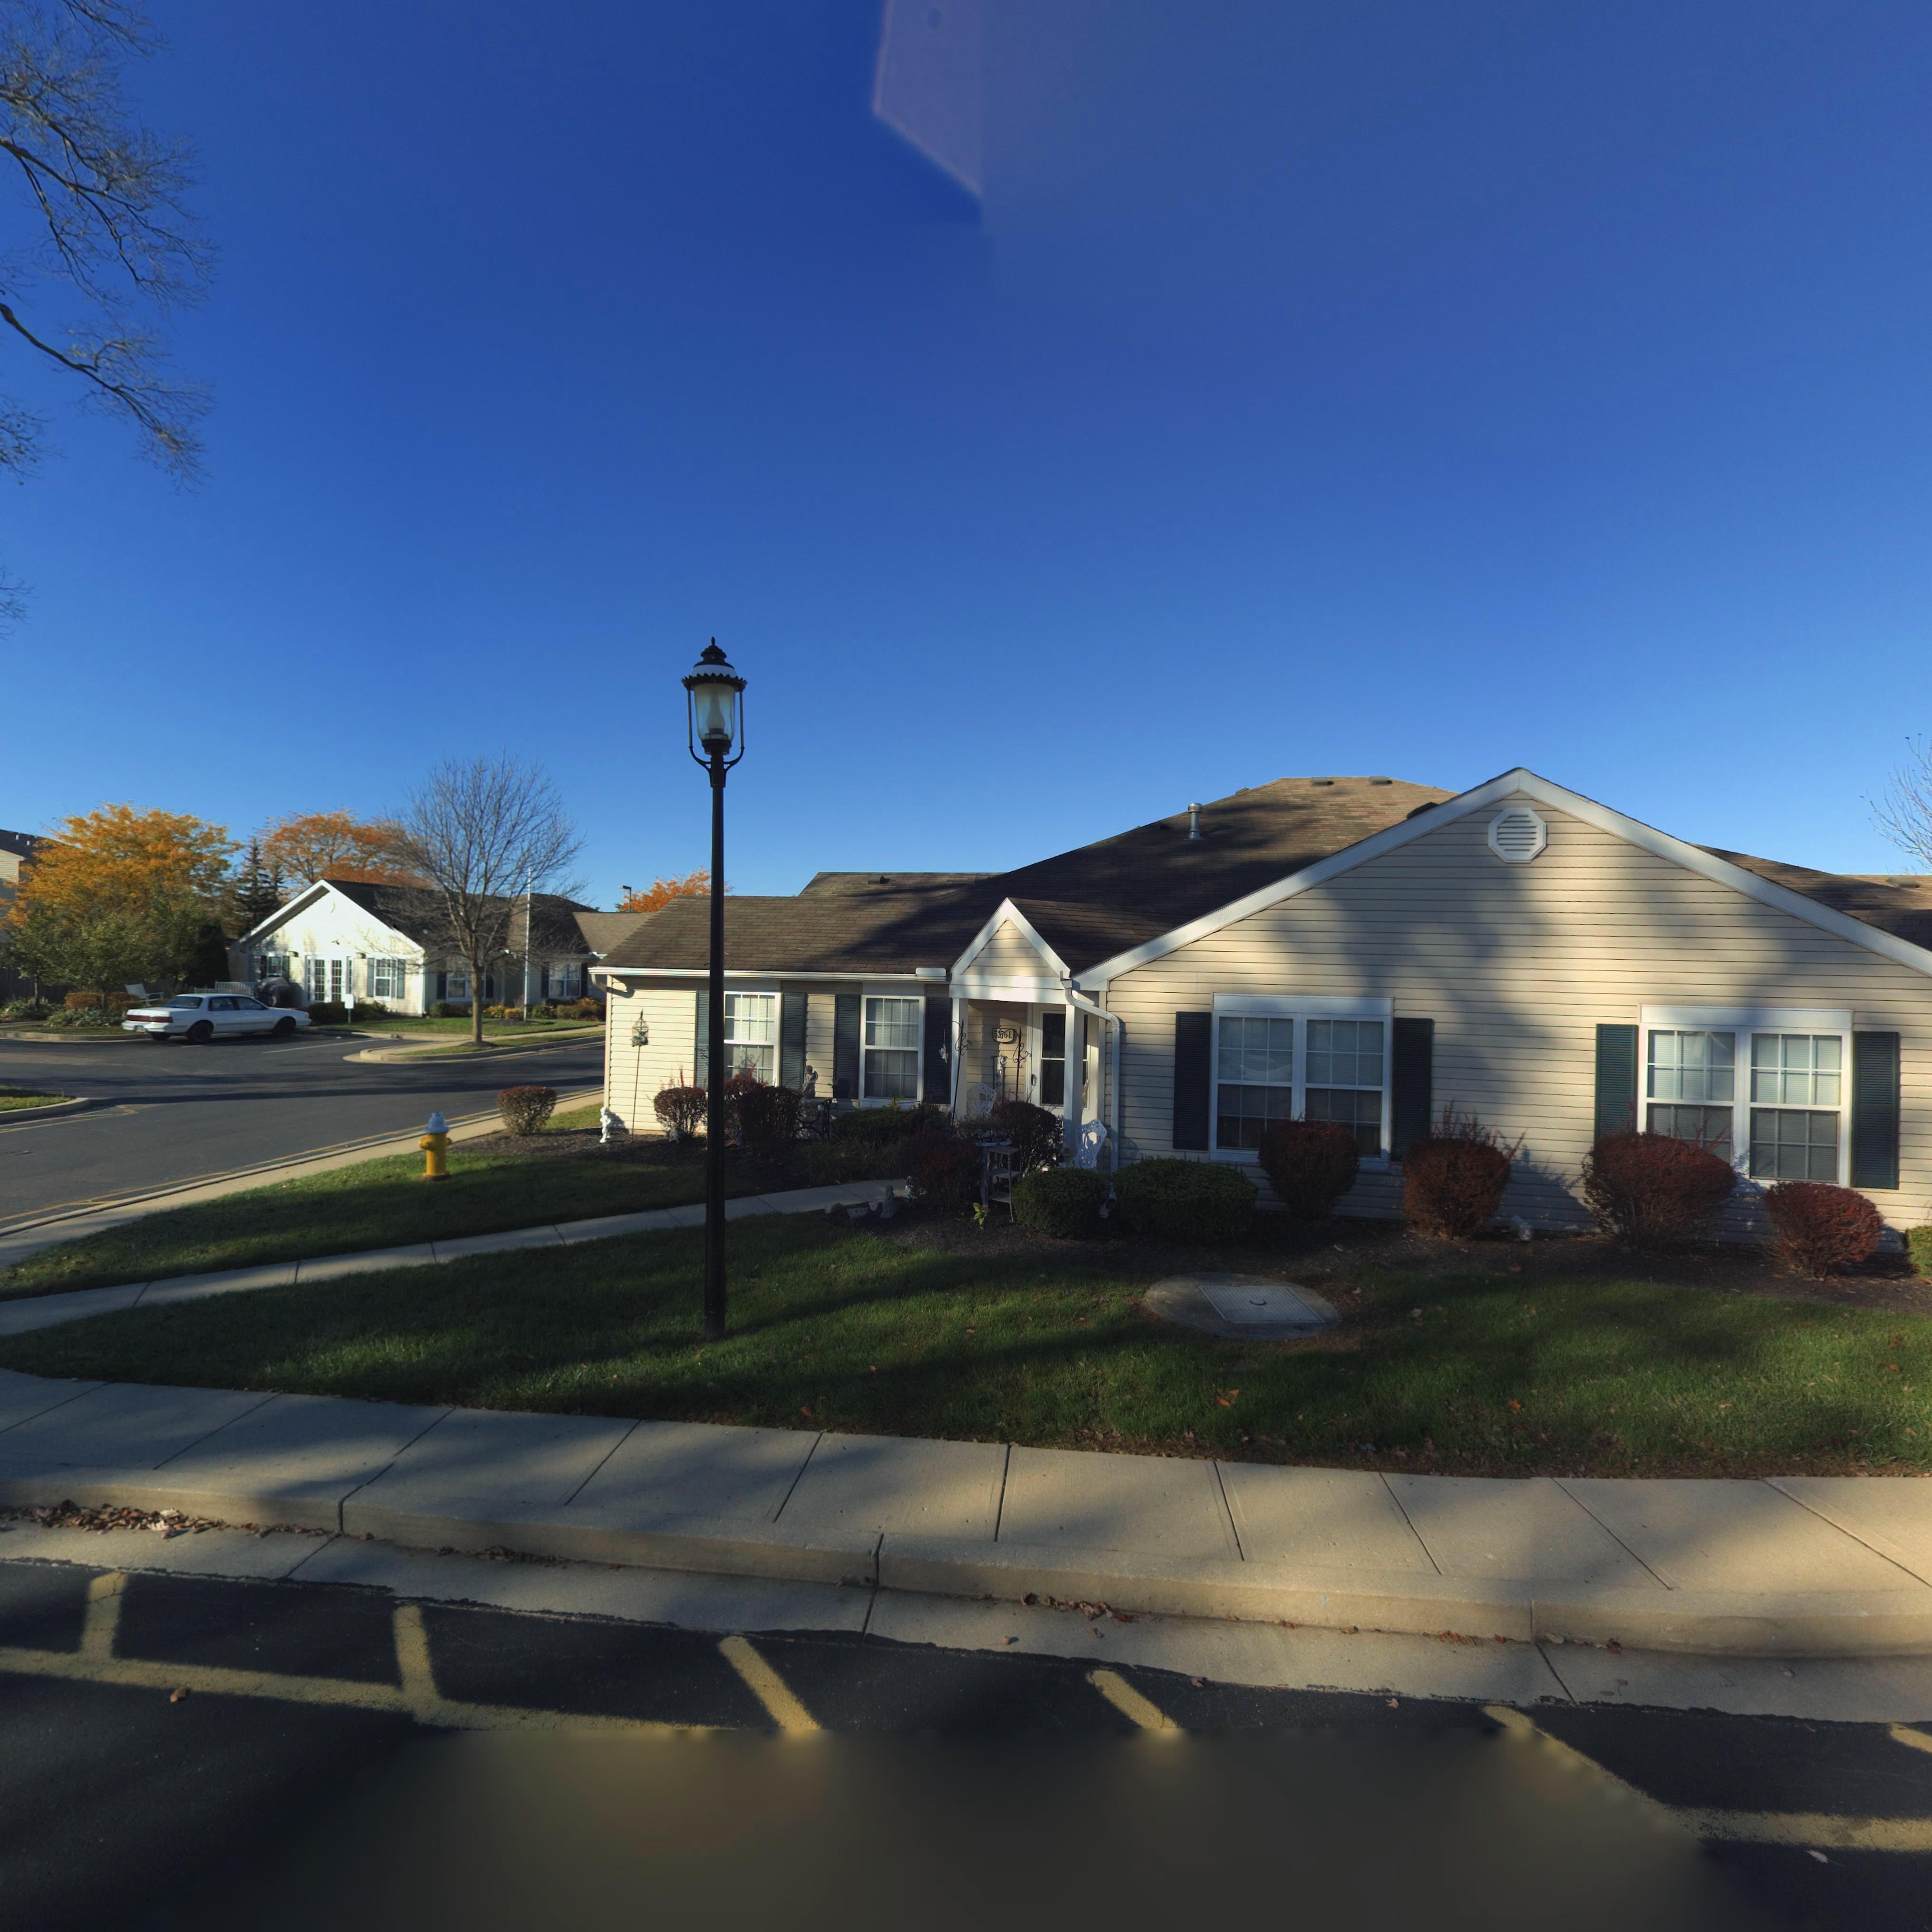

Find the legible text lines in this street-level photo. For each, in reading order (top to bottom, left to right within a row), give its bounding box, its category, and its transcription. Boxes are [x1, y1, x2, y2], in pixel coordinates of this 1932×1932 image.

[993, 1029, 1013, 1039] StreetNumber: 5**6-L